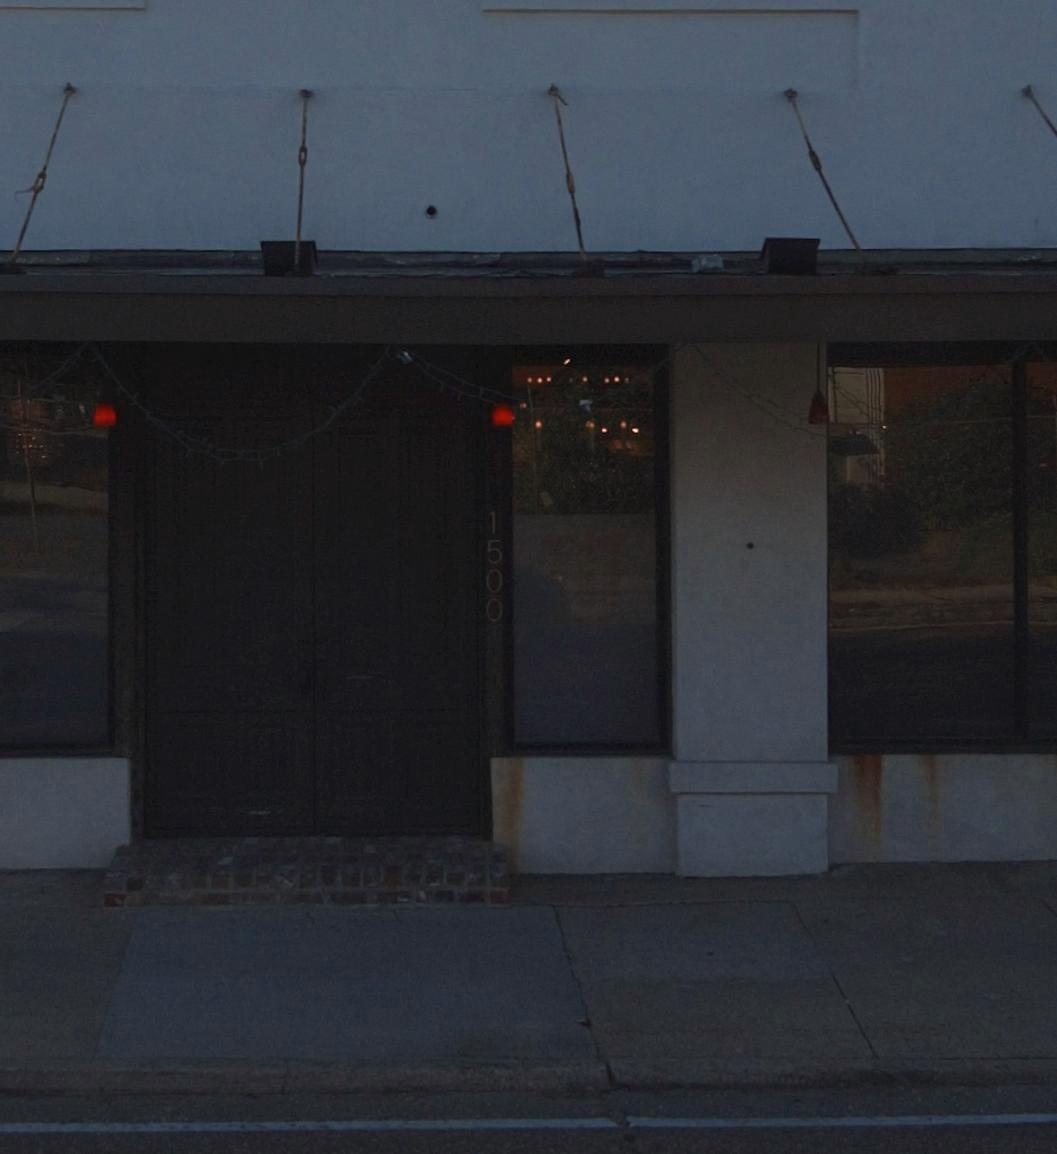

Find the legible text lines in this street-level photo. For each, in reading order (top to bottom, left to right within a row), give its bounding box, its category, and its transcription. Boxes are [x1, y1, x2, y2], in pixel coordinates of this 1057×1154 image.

[482, 506, 506, 627] StreetNumber: 1500